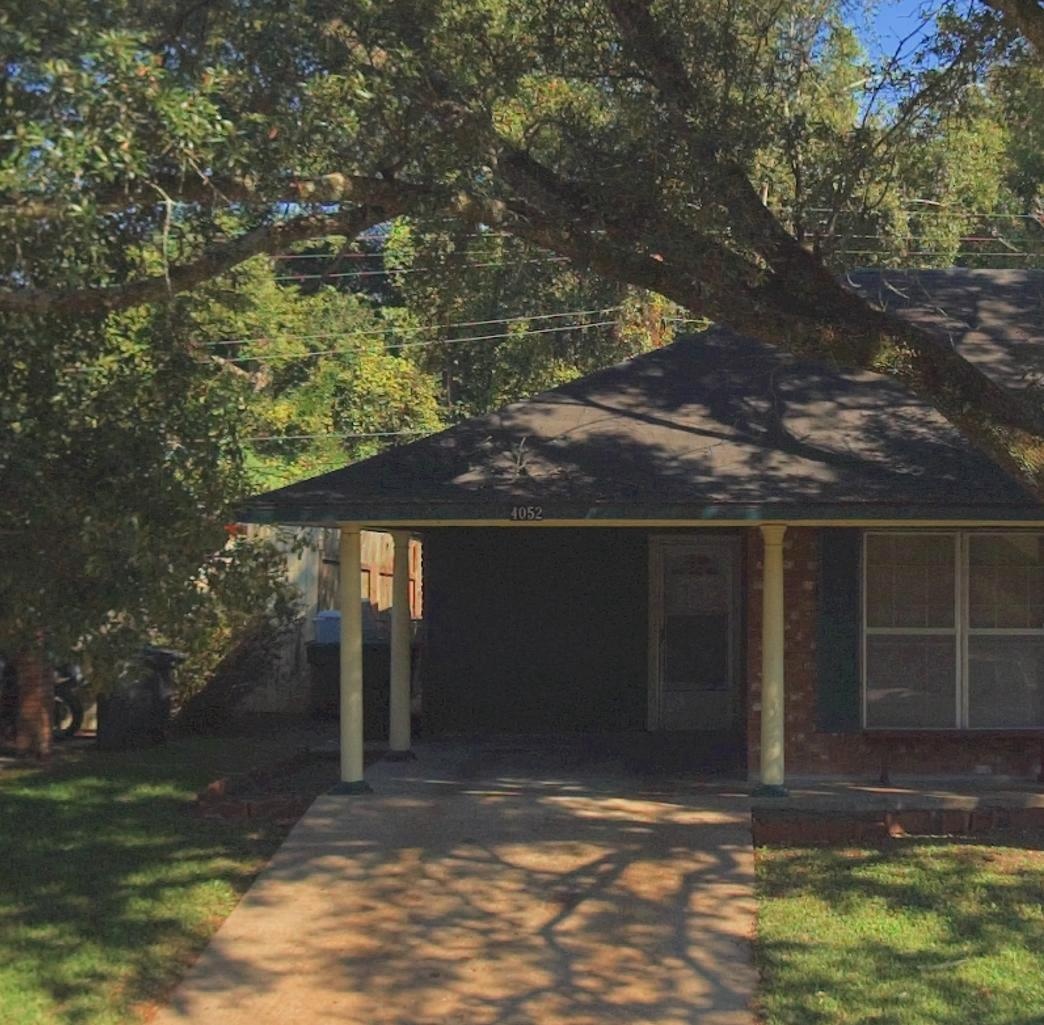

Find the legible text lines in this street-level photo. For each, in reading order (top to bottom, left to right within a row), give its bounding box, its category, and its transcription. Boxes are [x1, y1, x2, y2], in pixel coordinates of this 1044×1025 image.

[510, 505, 544, 520] StreetNumber: 4052